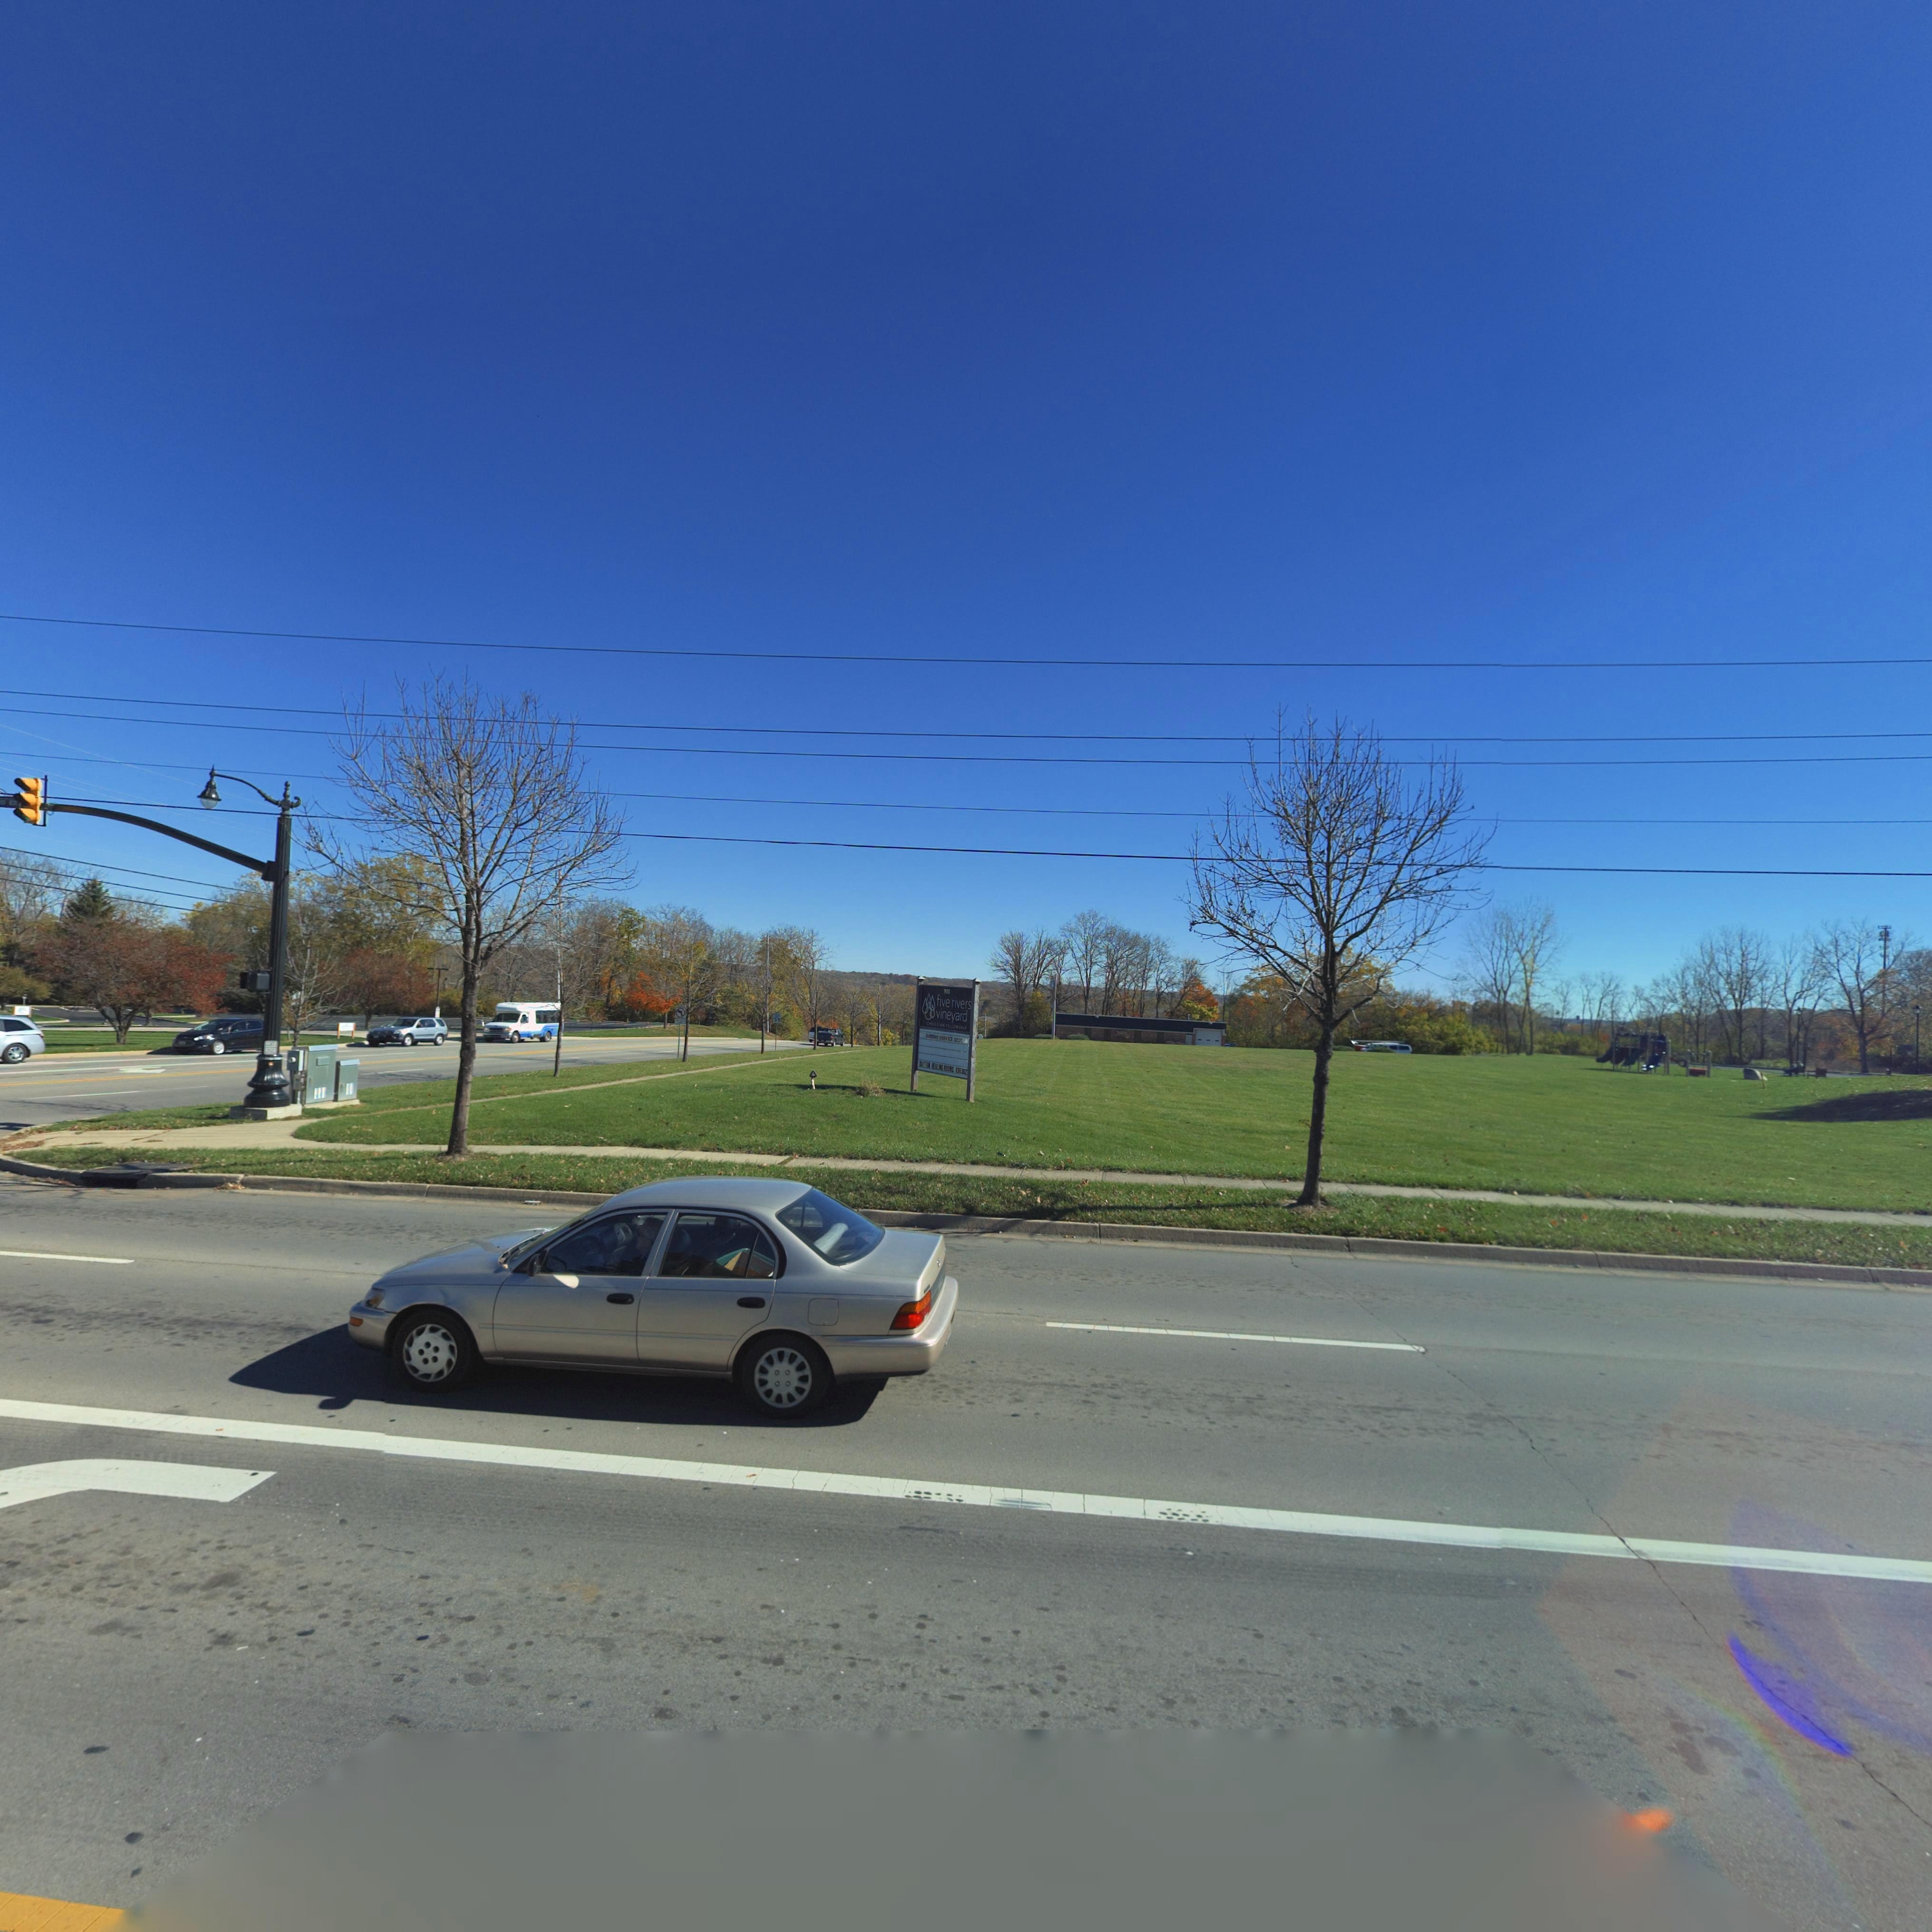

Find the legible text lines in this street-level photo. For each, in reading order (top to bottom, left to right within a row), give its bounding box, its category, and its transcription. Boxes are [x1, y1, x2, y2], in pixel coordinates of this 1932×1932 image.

[943, 988, 951, 995] StreetNumber: 900
[936, 993, 972, 1010] BusinessName: five rivers
[935, 1007, 968, 1024] BusinessName: vineyard